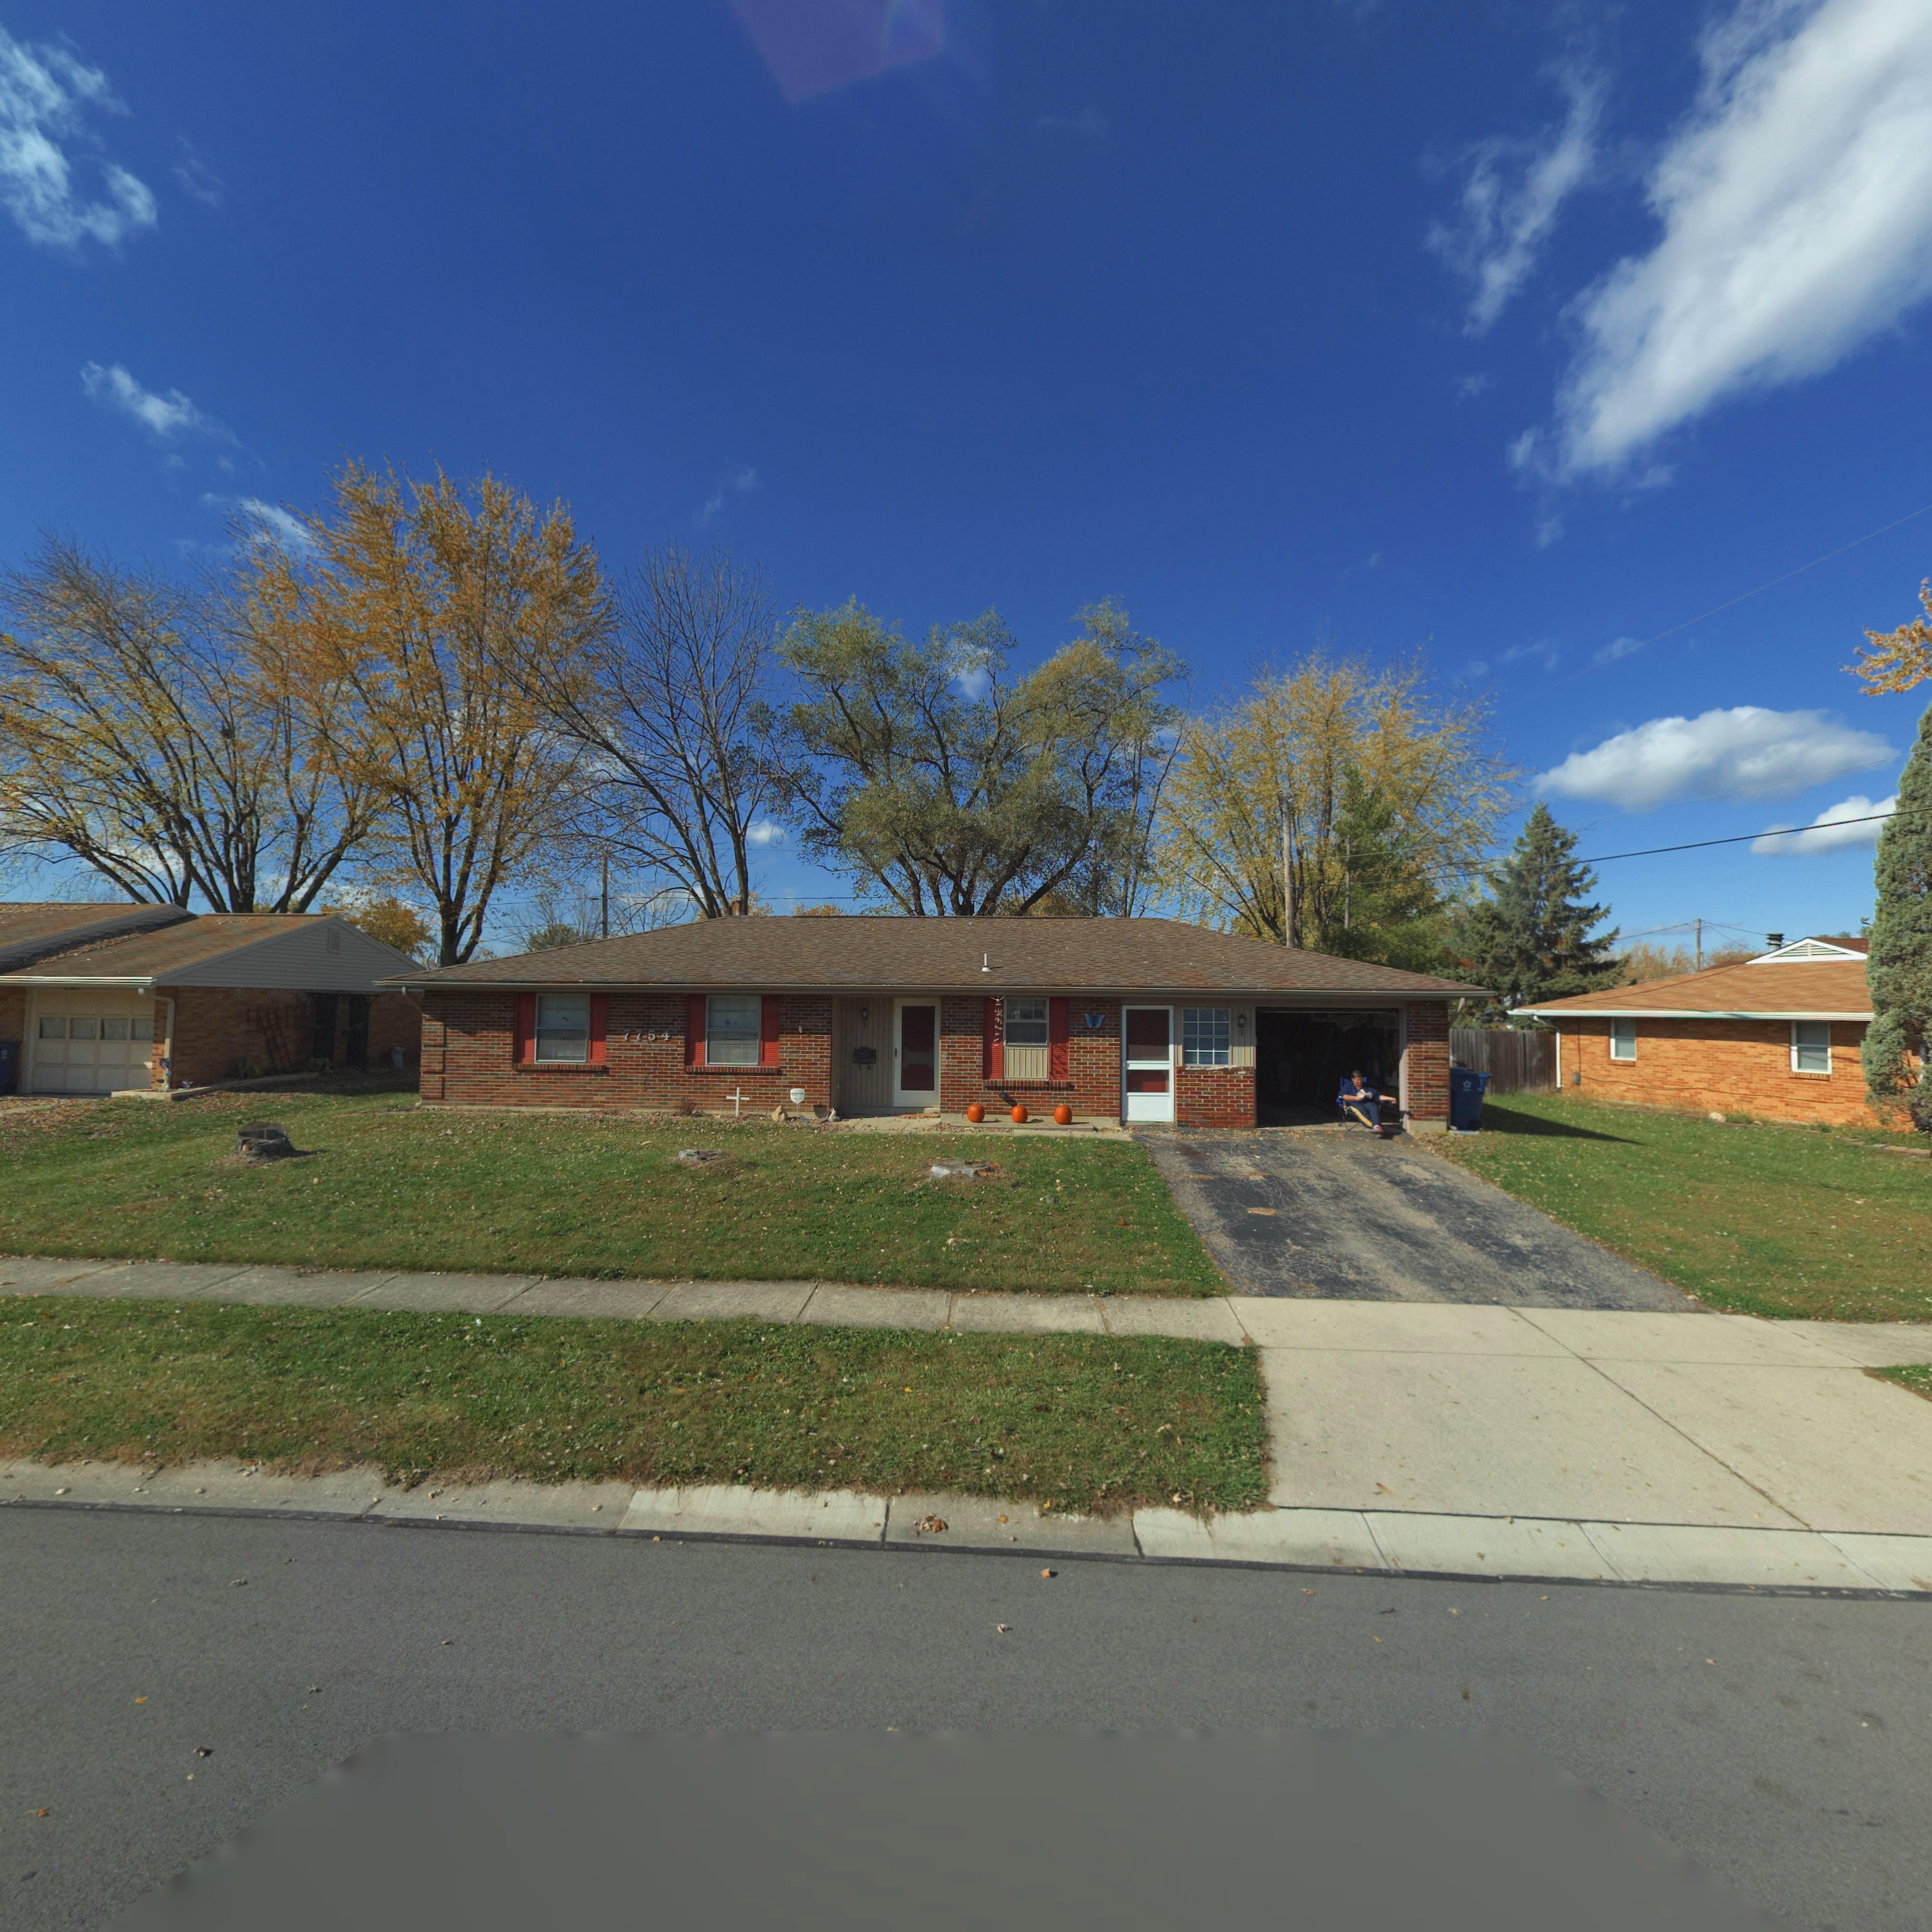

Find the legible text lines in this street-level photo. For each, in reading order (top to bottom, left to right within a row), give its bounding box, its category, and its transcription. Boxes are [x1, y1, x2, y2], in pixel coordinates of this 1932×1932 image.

[623, 1029, 672, 1042] StreetNumber: 7754